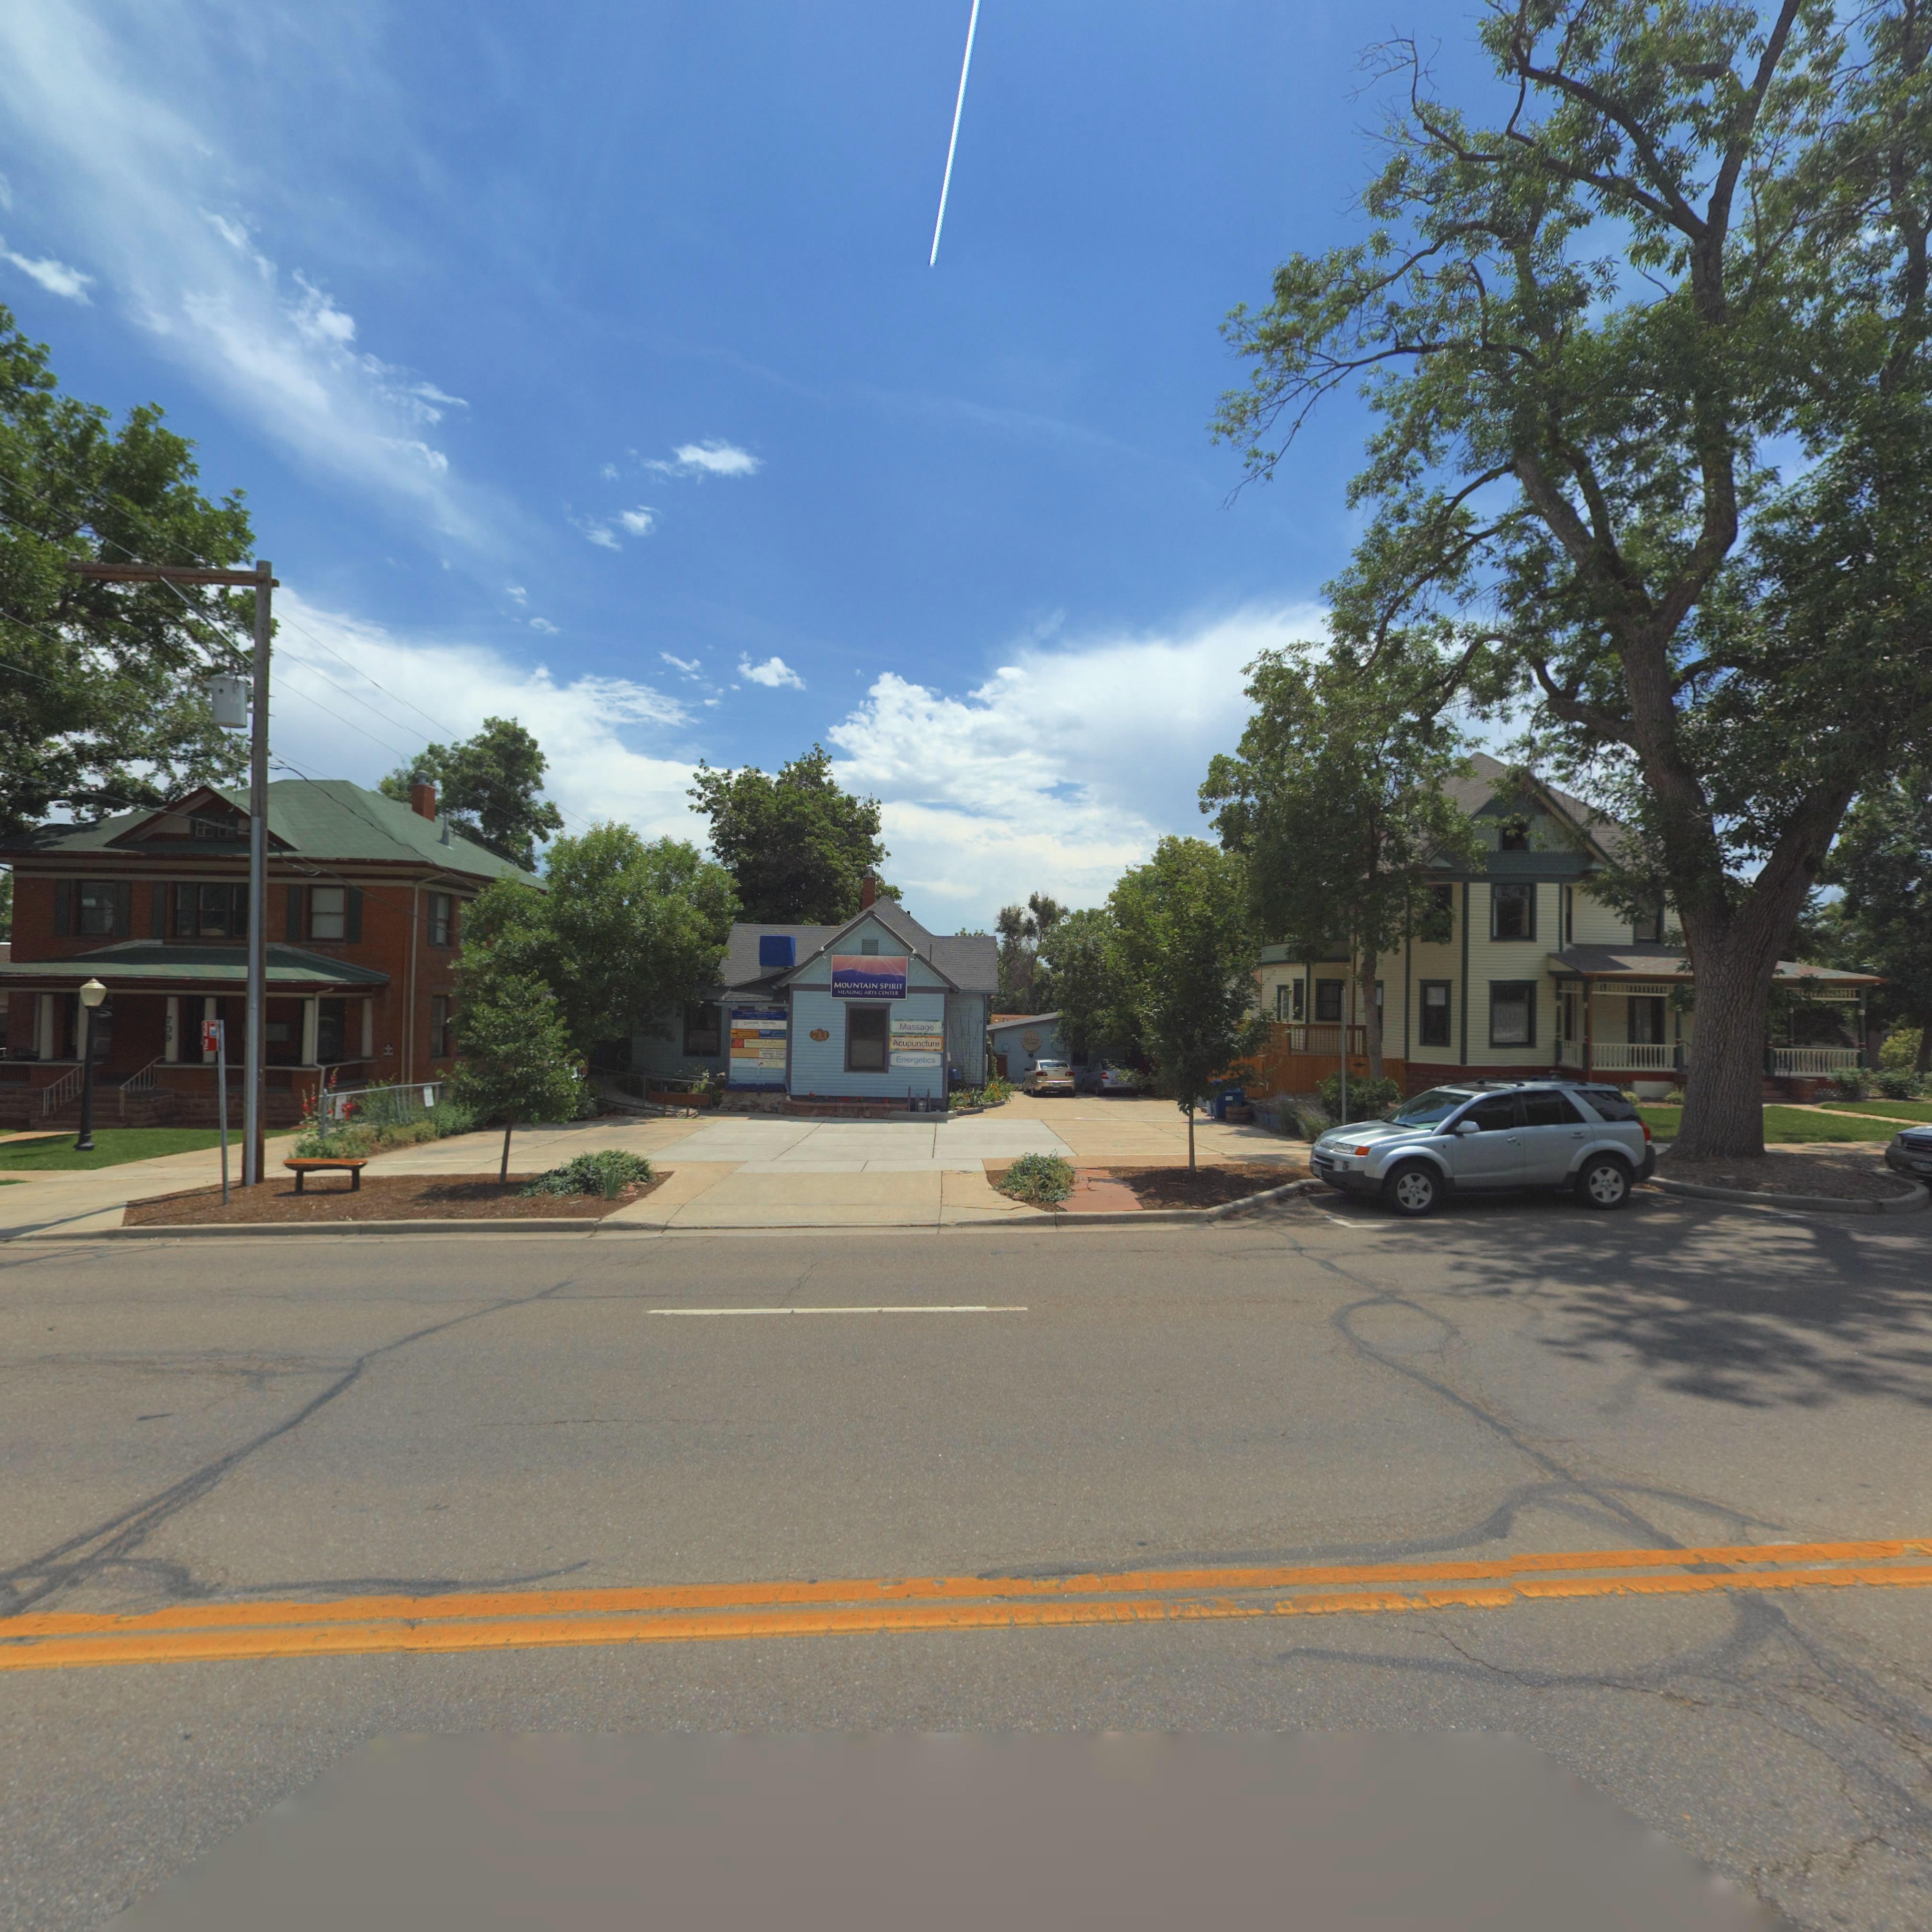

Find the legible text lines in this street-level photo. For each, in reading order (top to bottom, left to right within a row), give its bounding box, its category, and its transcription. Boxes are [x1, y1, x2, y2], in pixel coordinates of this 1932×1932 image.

[833, 982, 903, 989] BusinessName: MOUNTAIN SPIRIT
[837, 990, 898, 995] BusinessName: HEALING ARTS CENTER
[743, 1020, 776, 1025] BusinessName: S***** Wo***
[165, 1015, 172, 1043] StreetNumber: 709
[746, 1038, 777, 1045] BusinessName: D***** Light
[812, 1031, 827, 1039] StreetNumber: 713
[1028, 1035, 1033, 1041] BusinessName: S